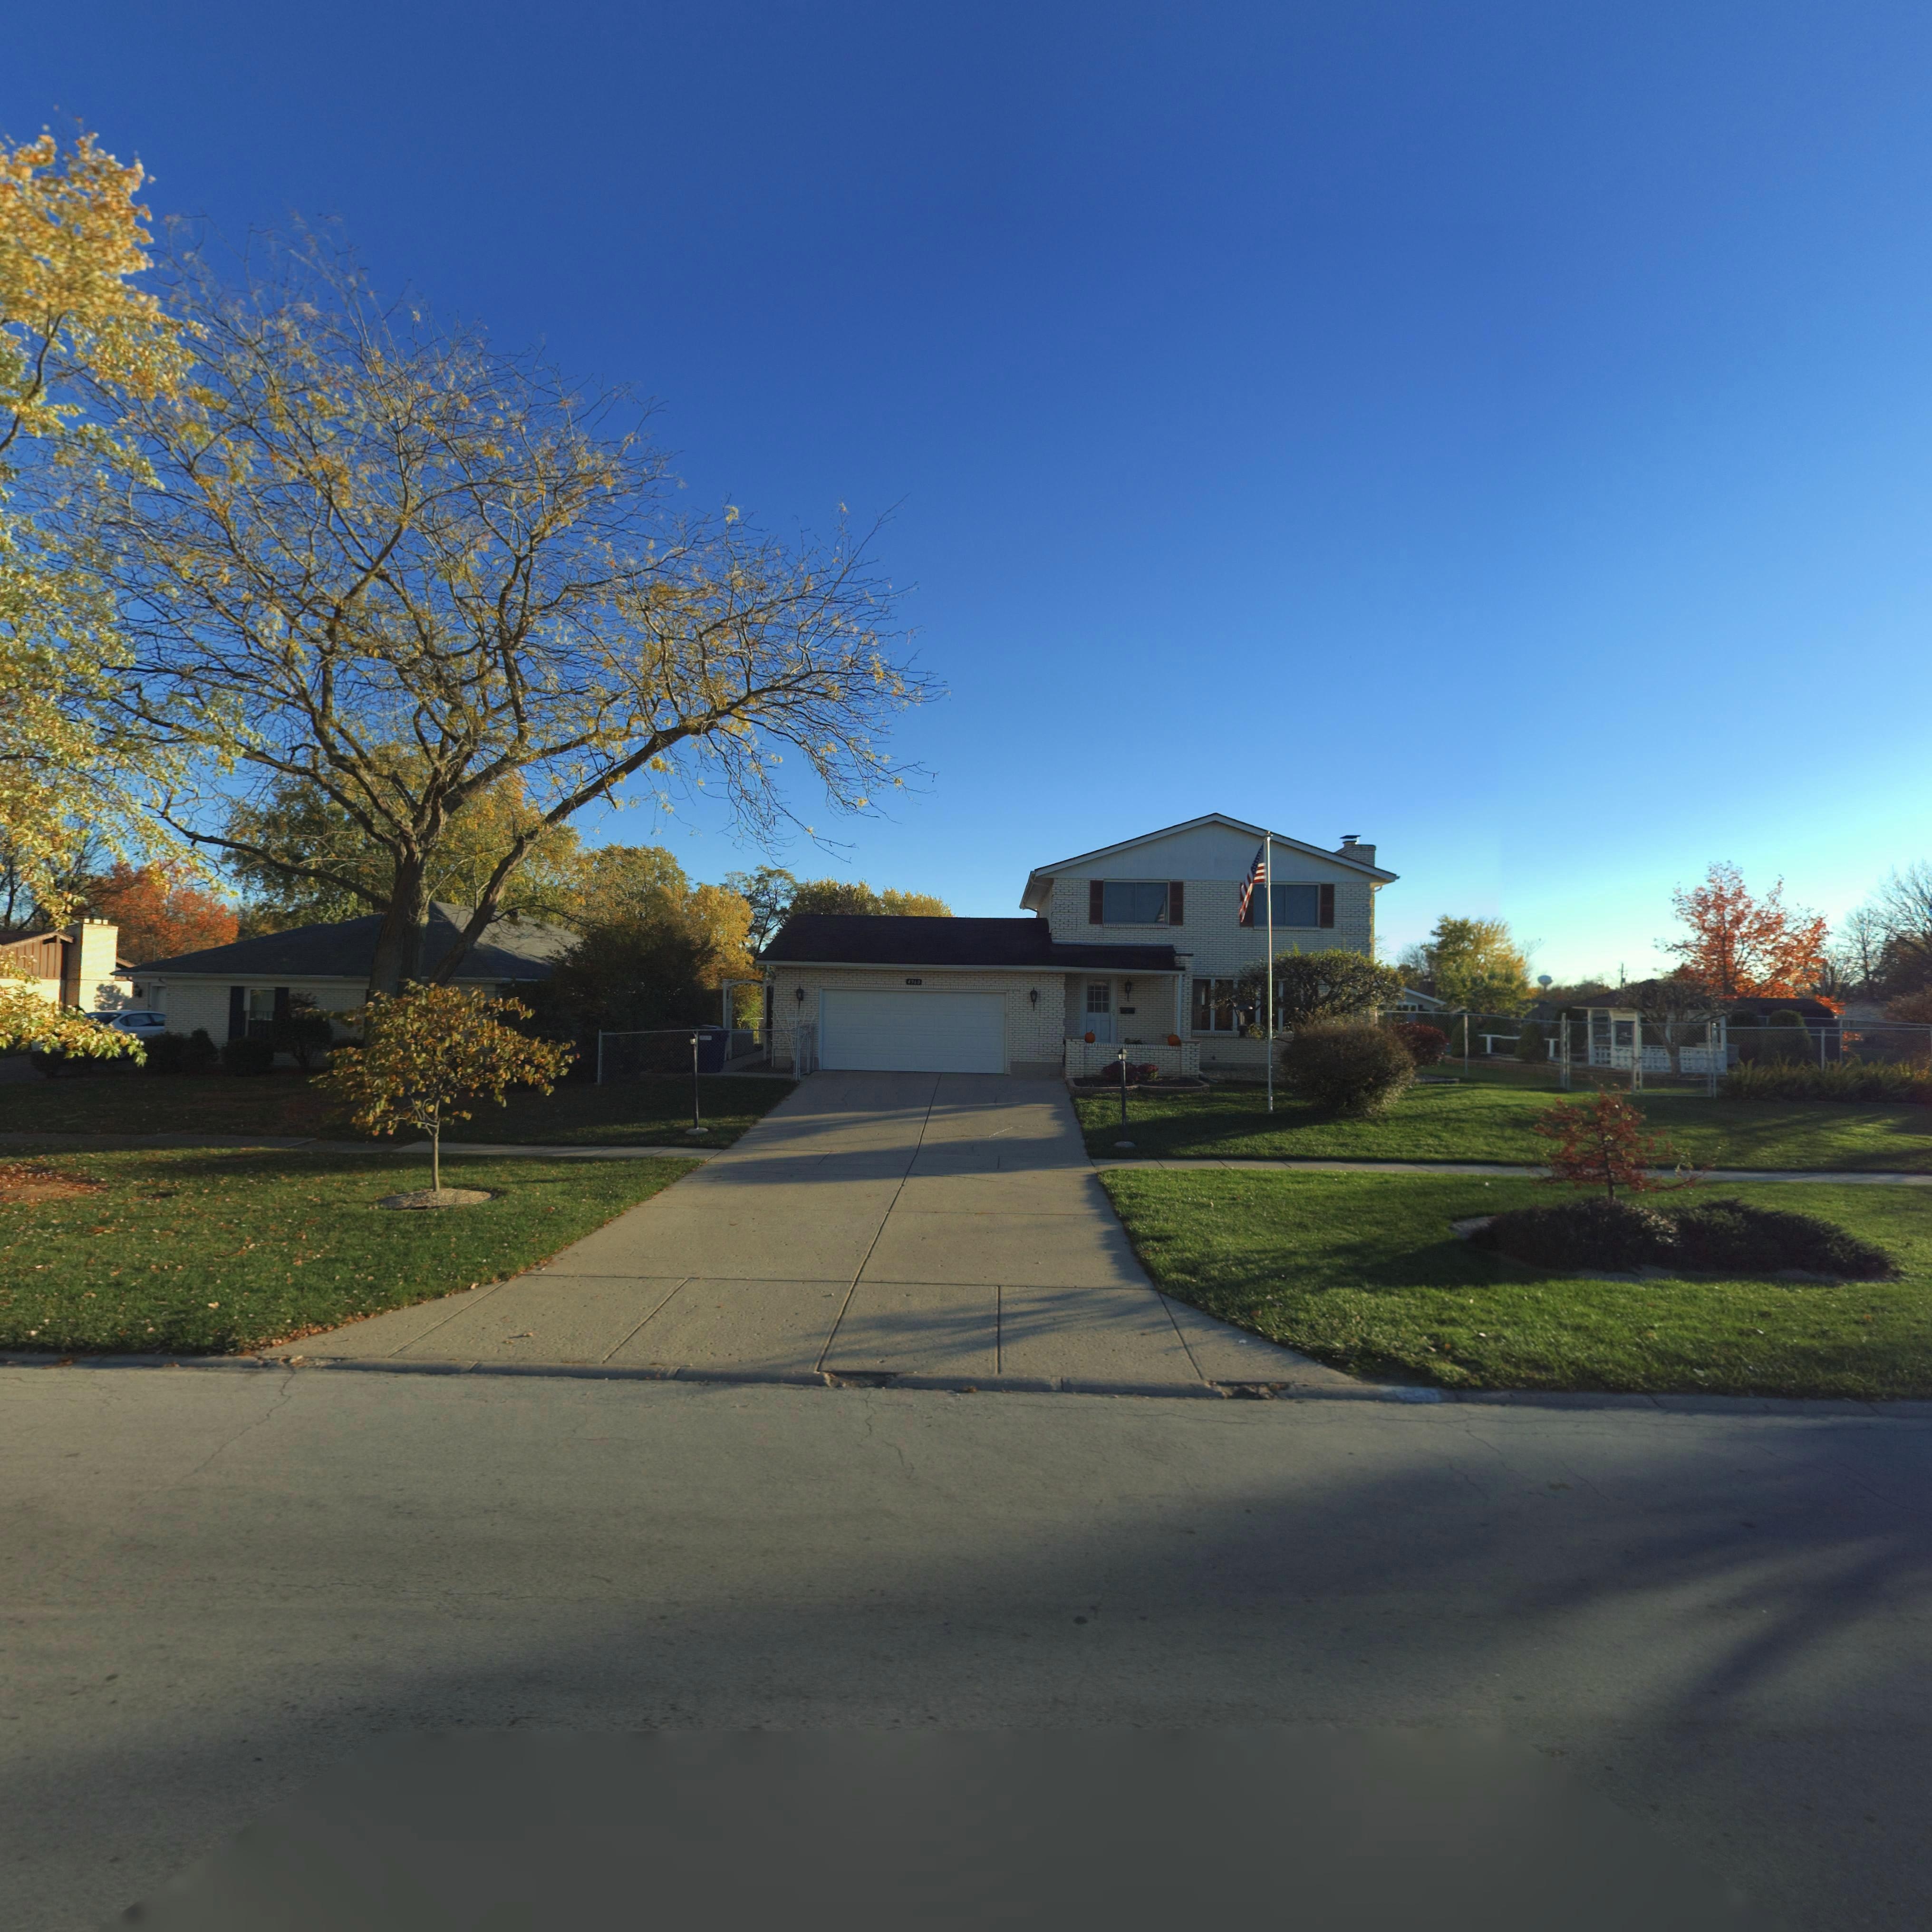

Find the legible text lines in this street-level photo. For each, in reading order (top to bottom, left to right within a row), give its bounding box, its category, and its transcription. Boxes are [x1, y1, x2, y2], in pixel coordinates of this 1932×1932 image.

[907, 979, 921, 985] StreetNumber: 4960
[1421, 1387, 1437, 1402] StreetNumber: 0